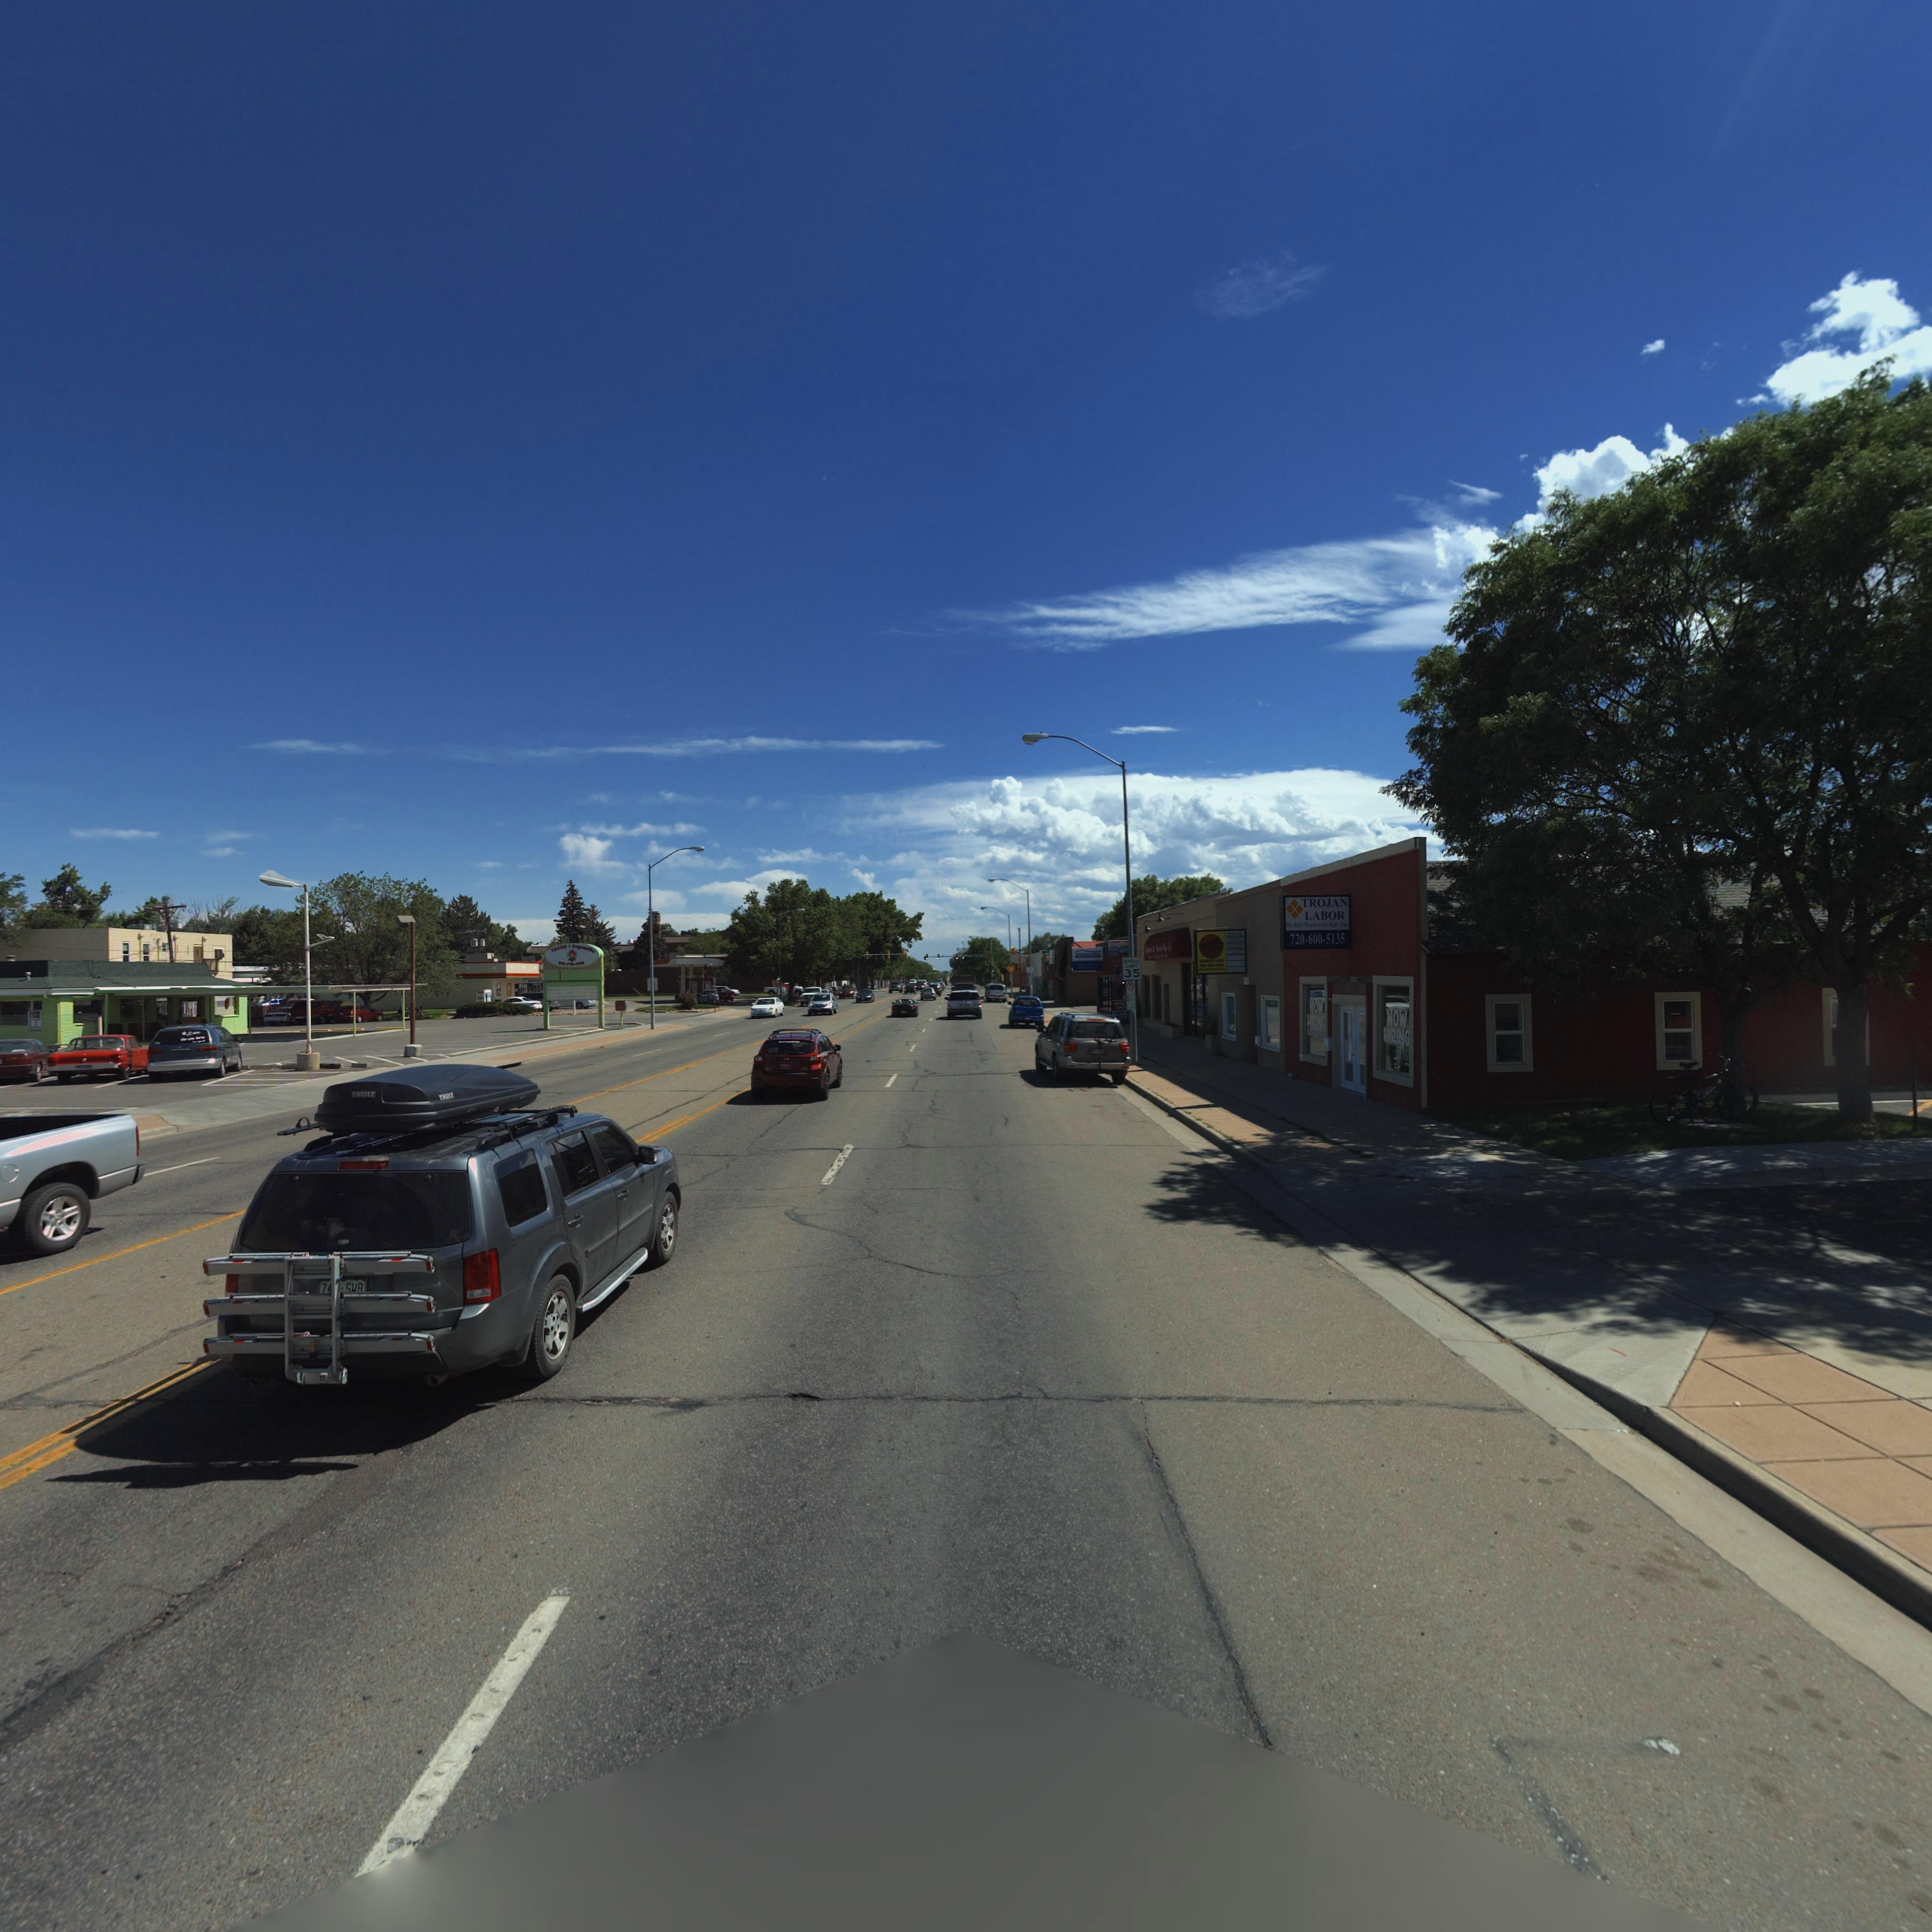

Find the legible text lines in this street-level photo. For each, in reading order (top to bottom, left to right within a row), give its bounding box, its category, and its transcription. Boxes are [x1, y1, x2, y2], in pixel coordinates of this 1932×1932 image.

[1301, 898, 1347, 907] BusinessName: TROJAN
[1304, 910, 1344, 920] BusinessName: LABOR
[1109, 940, 1127, 944] BusinessName: C*****TE
[550, 944, 595, 953] BusinessName: TACOS Pogooc*o
[1144, 942, 1172, 954] BusinessName: O******* & N***** R** C*
[1350, 976, 1357, 983] StreetNumber: *31